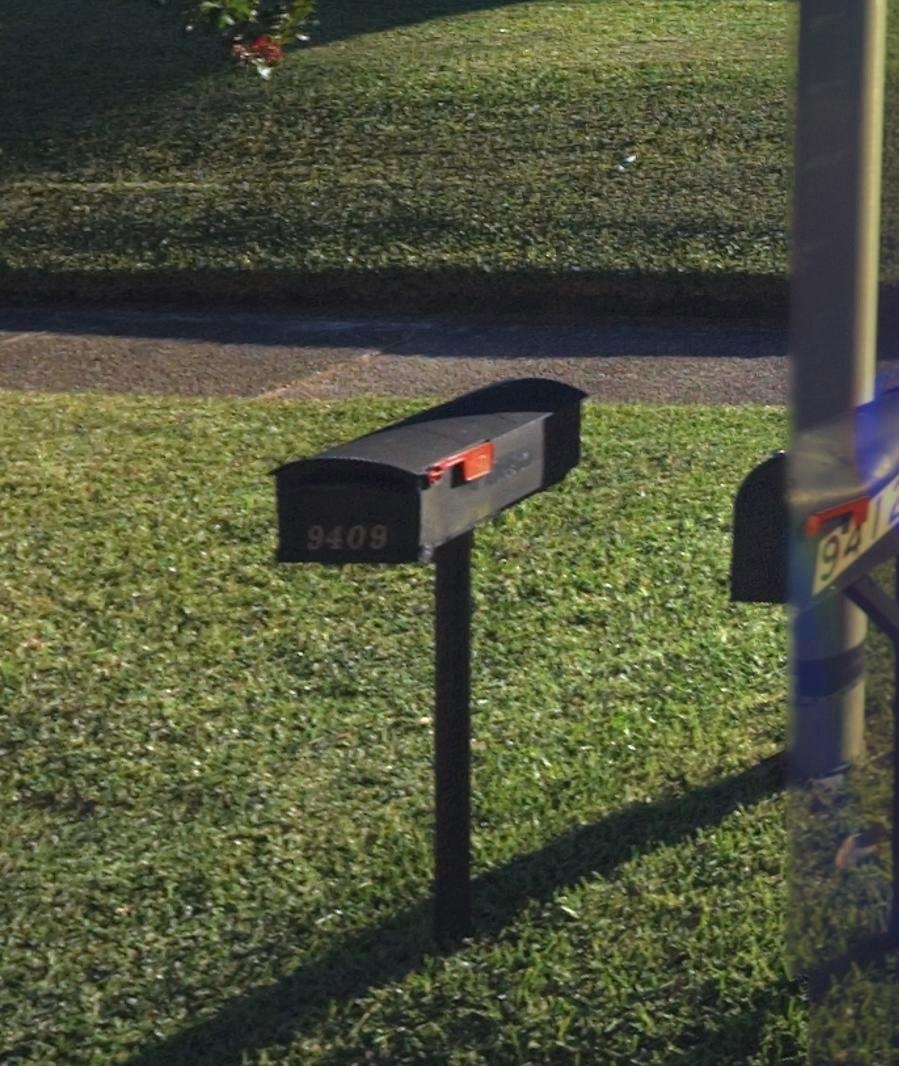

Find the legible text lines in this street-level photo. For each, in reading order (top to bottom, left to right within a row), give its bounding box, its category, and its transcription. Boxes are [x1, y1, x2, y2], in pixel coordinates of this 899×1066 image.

[306, 523, 389, 551] StreetNumber: 9409
[819, 479, 899, 588] StreetNumber: 9412